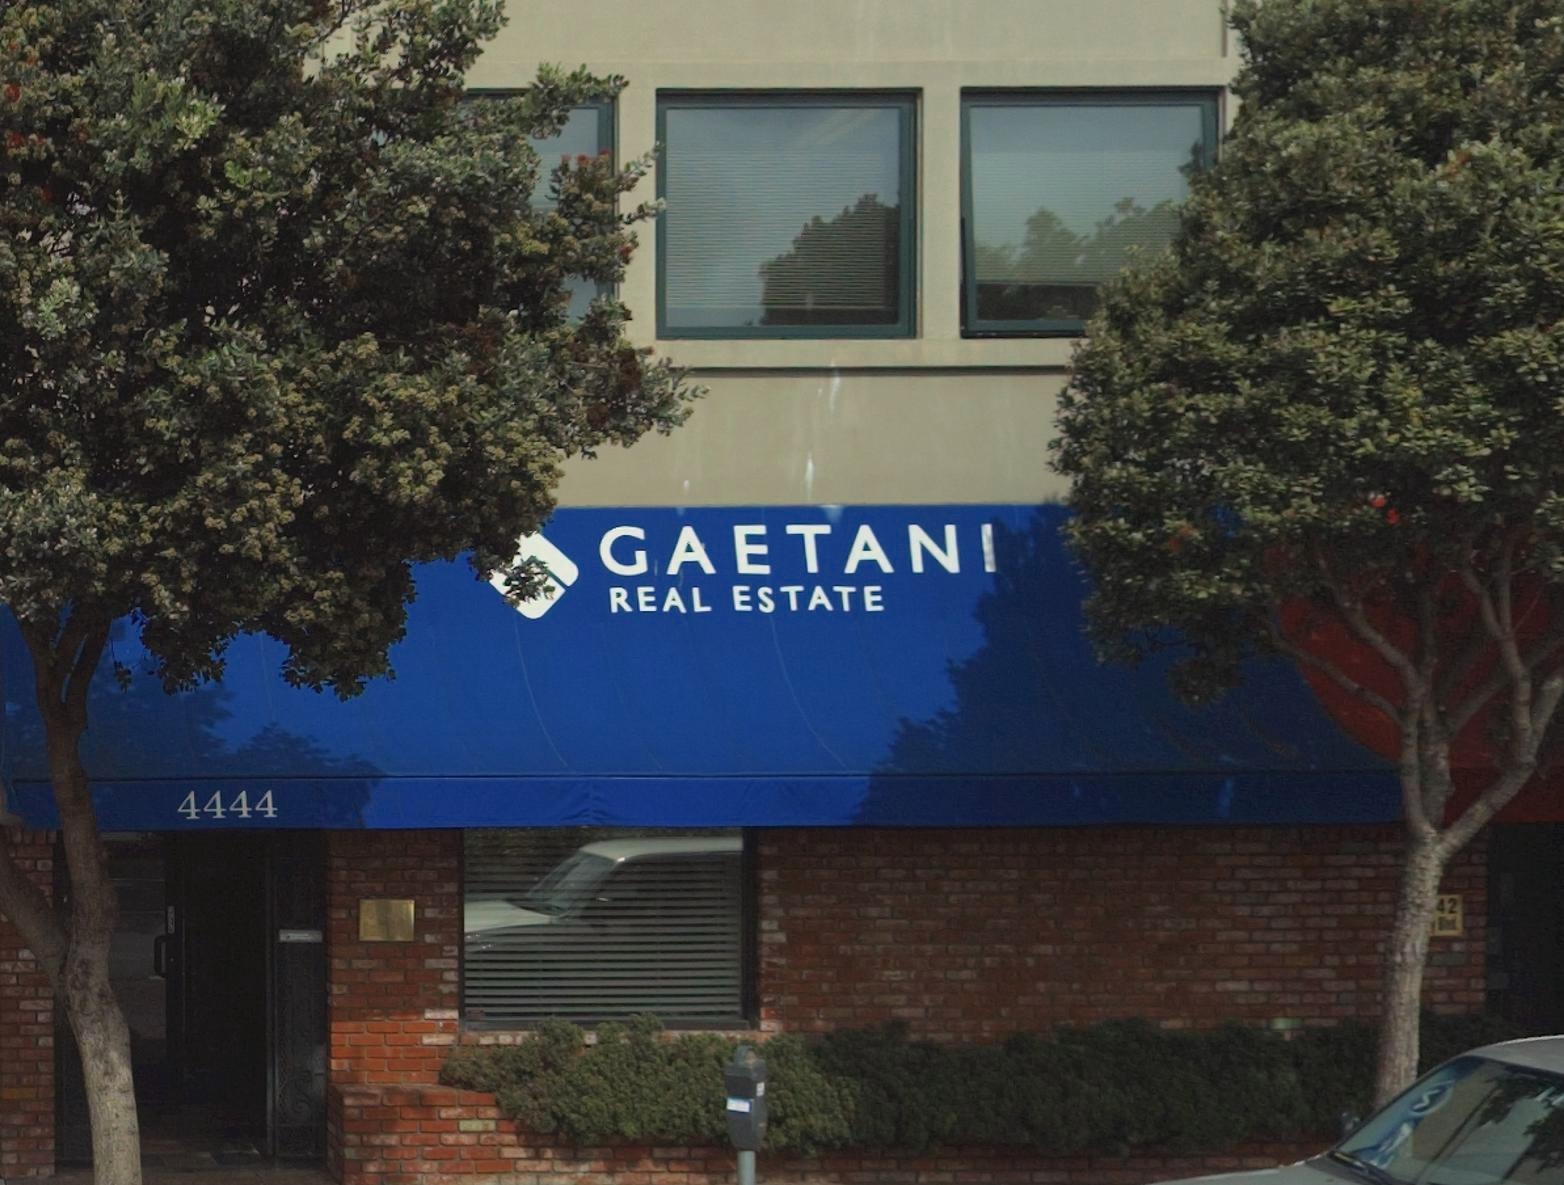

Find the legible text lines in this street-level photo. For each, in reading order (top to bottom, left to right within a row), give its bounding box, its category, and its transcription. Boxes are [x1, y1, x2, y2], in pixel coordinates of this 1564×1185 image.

[595, 520, 1001, 579] BusinessName: GAETANI
[603, 581, 889, 618] None: REAL ESTATE
[173, 785, 280, 823] StreetNumber: 4444
[1432, 894, 1461, 919] StreetNumber: 42